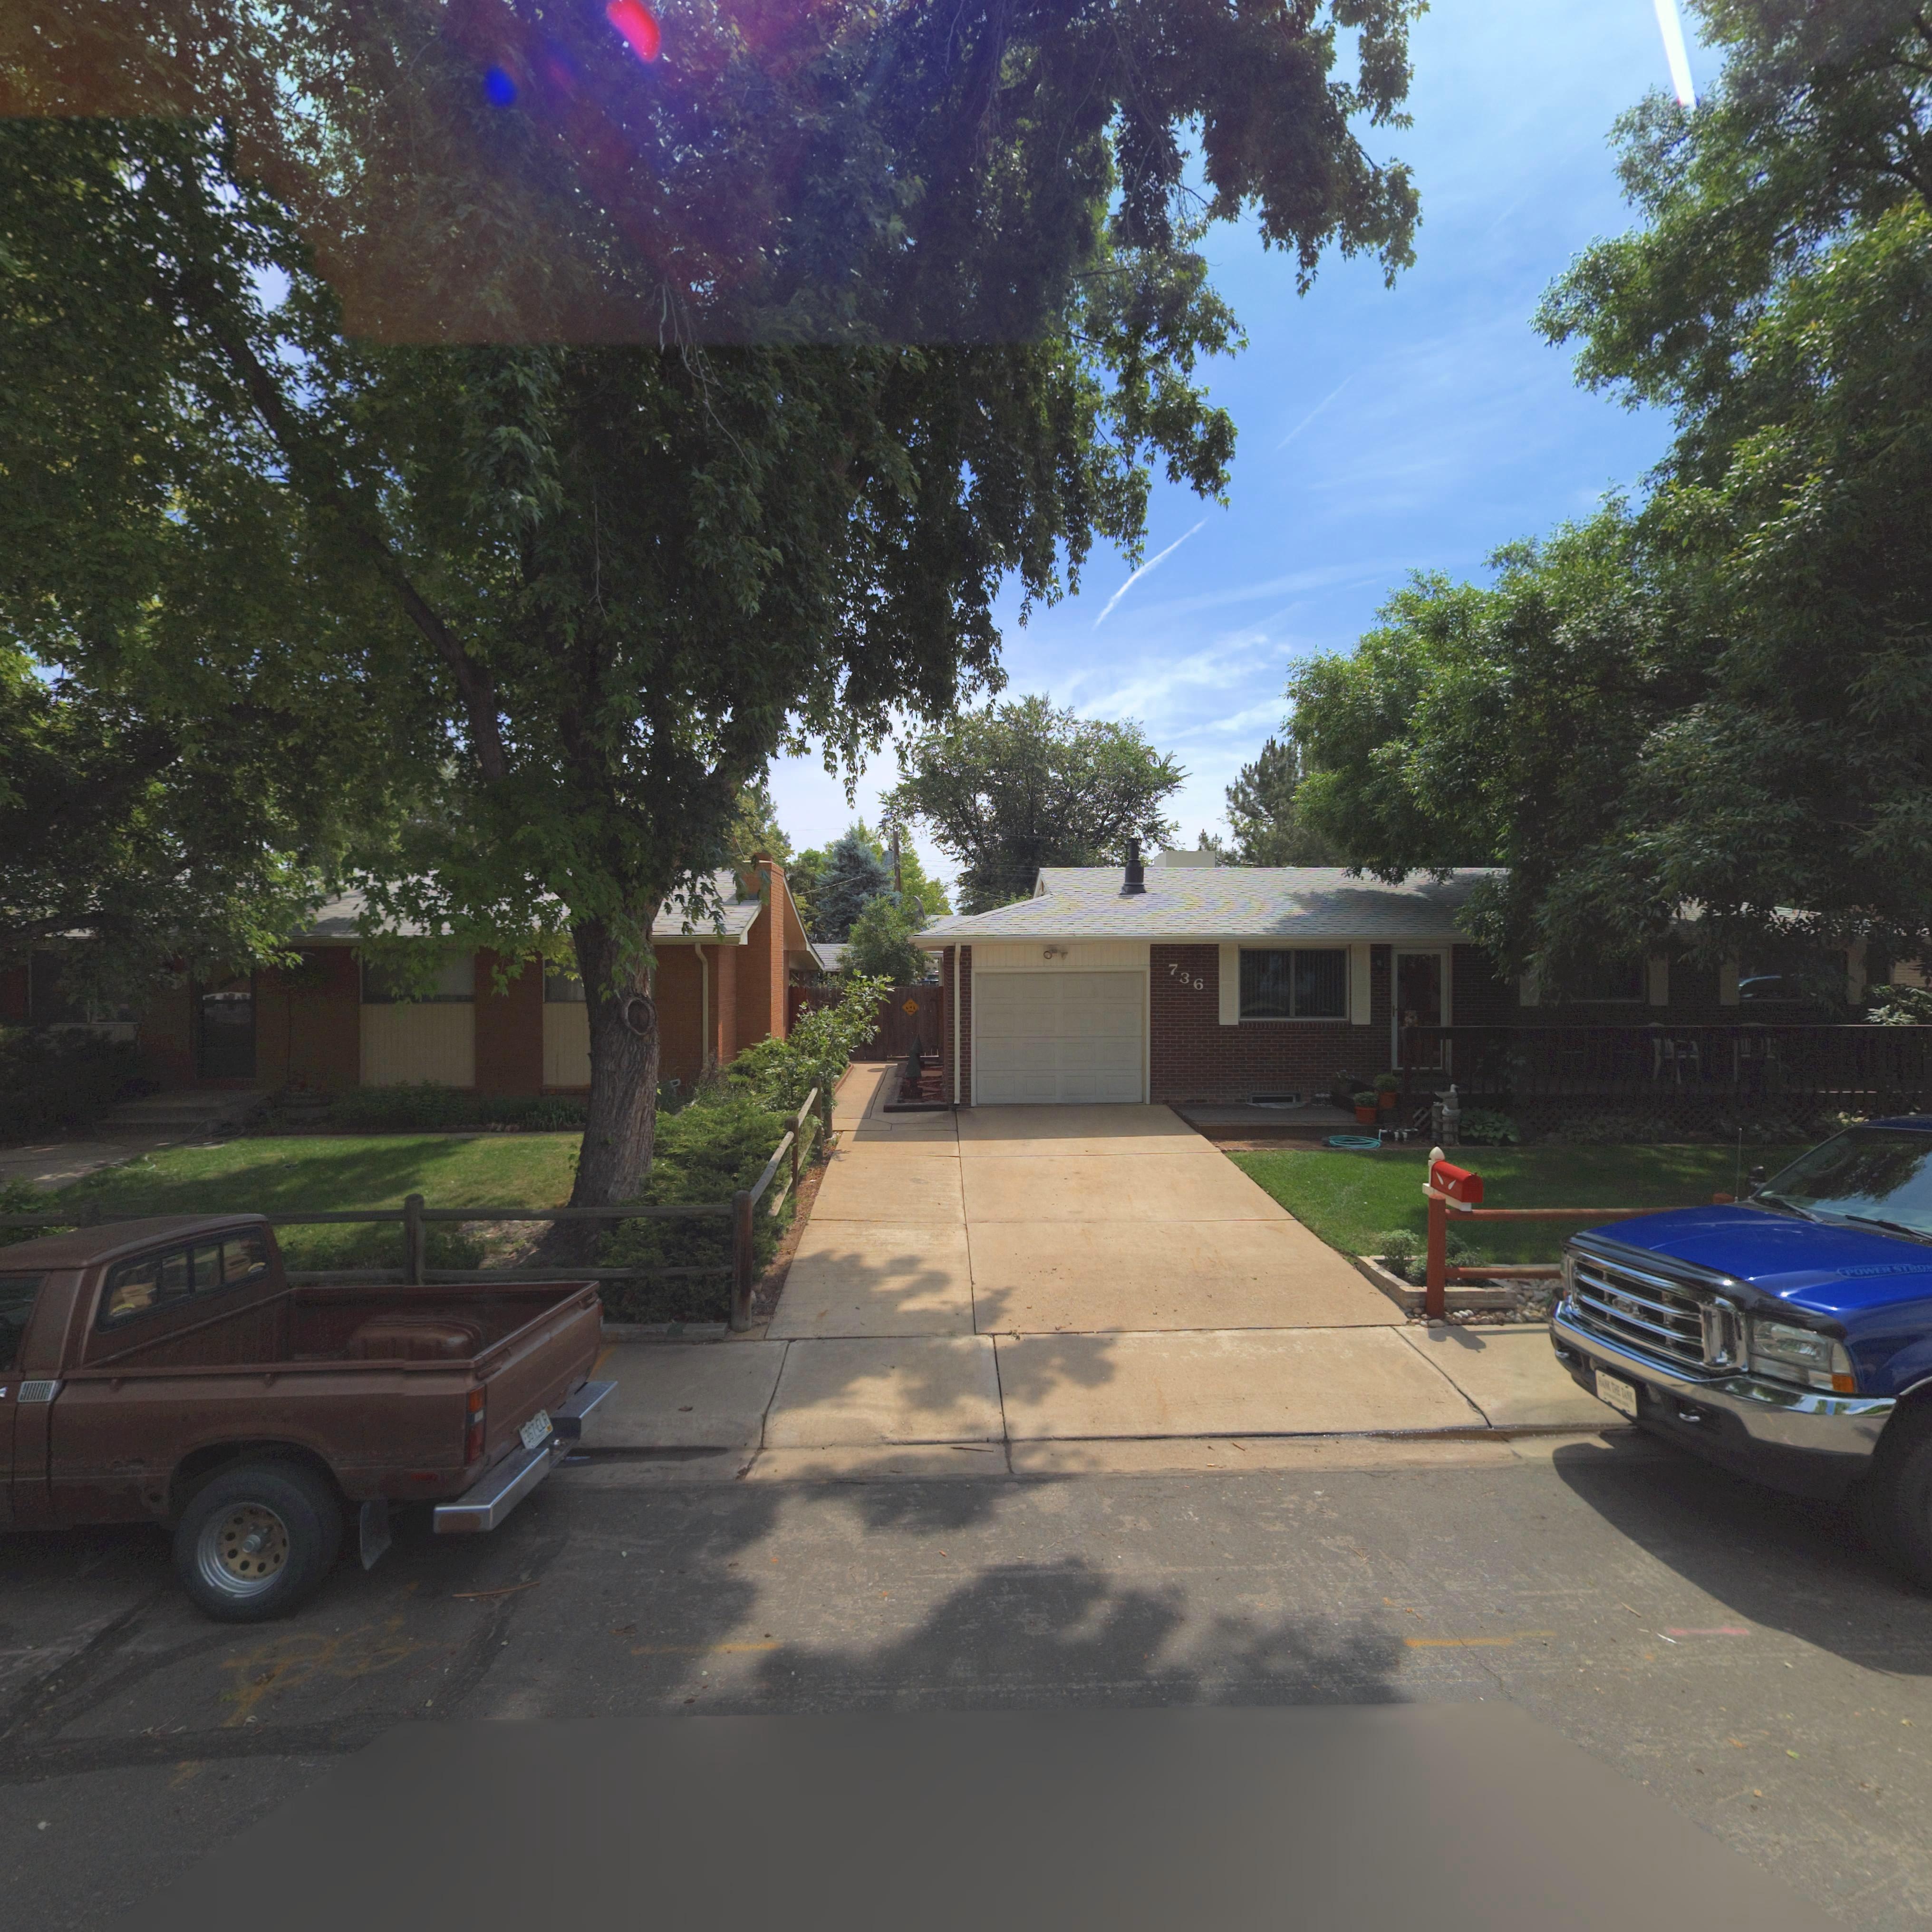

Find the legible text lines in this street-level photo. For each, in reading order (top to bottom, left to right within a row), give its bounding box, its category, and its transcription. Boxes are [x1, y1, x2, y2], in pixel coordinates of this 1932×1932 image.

[1168, 963, 1203, 990] StreetNumber: 736